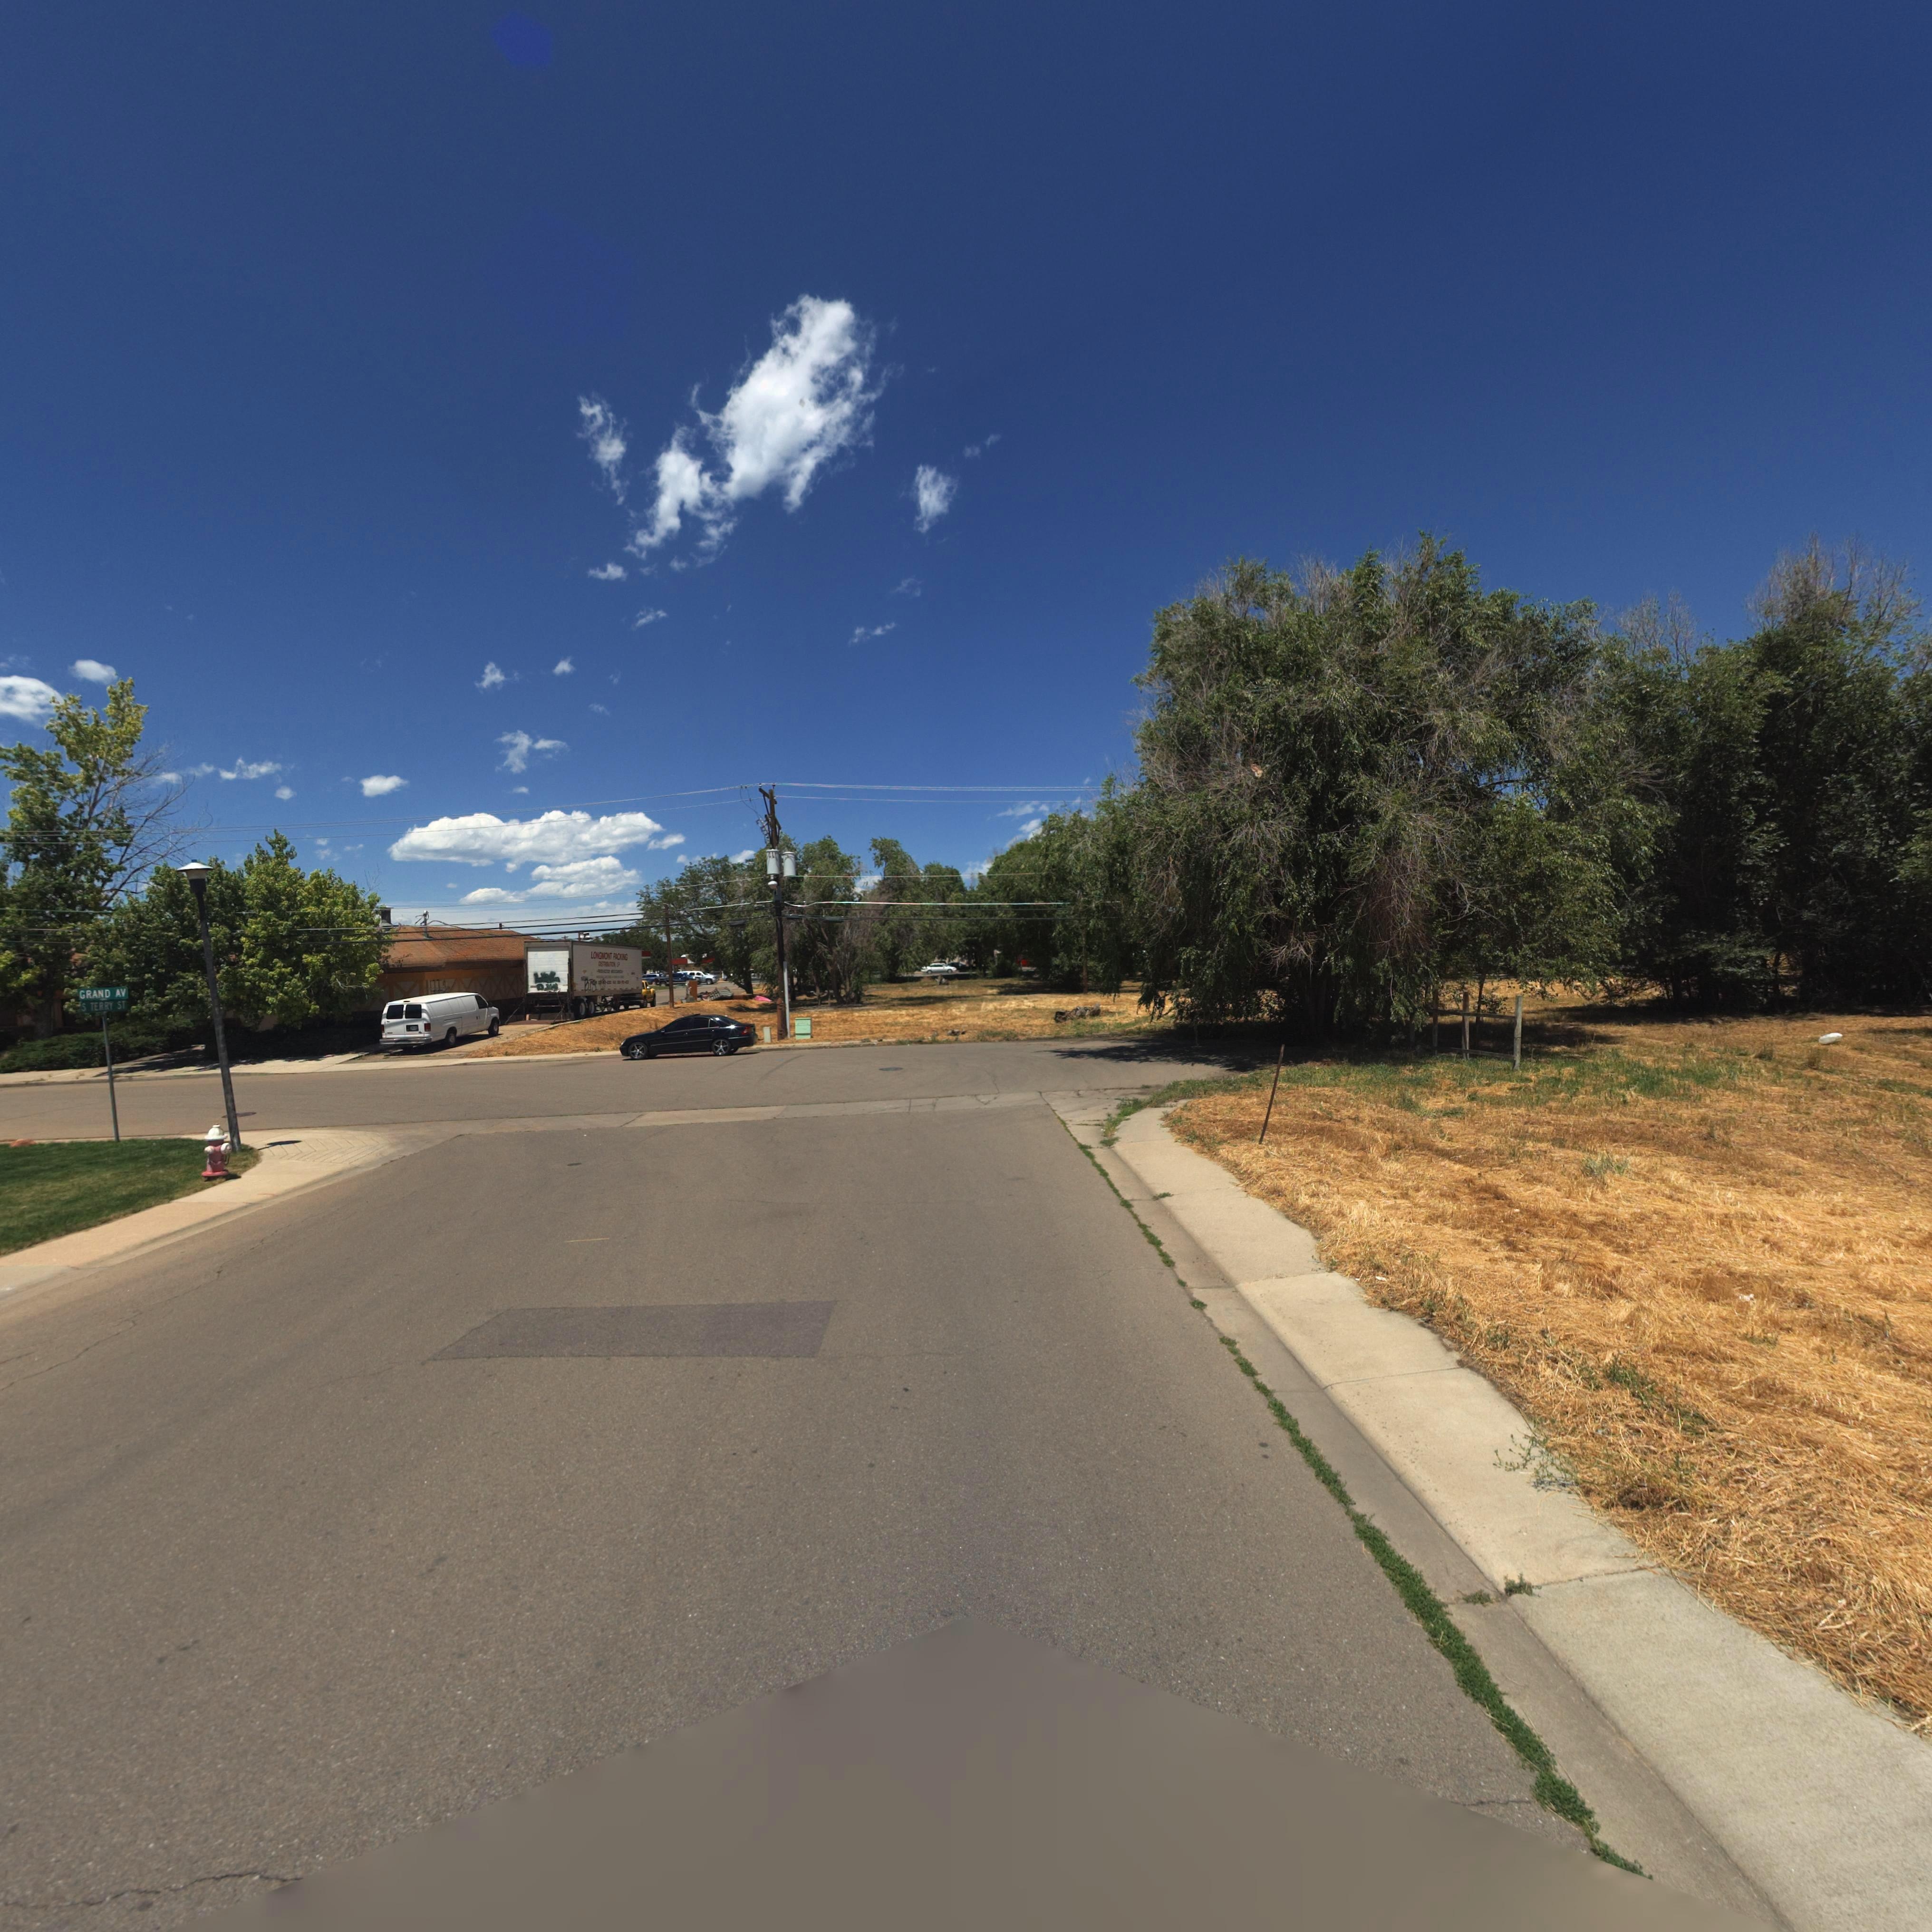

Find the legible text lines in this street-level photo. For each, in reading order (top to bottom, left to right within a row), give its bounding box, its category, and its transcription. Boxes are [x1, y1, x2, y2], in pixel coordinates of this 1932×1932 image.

[79, 987, 126, 999] StreetName: GRAND AV
[81, 1000, 126, 1011] StreetName: S TERRY ST